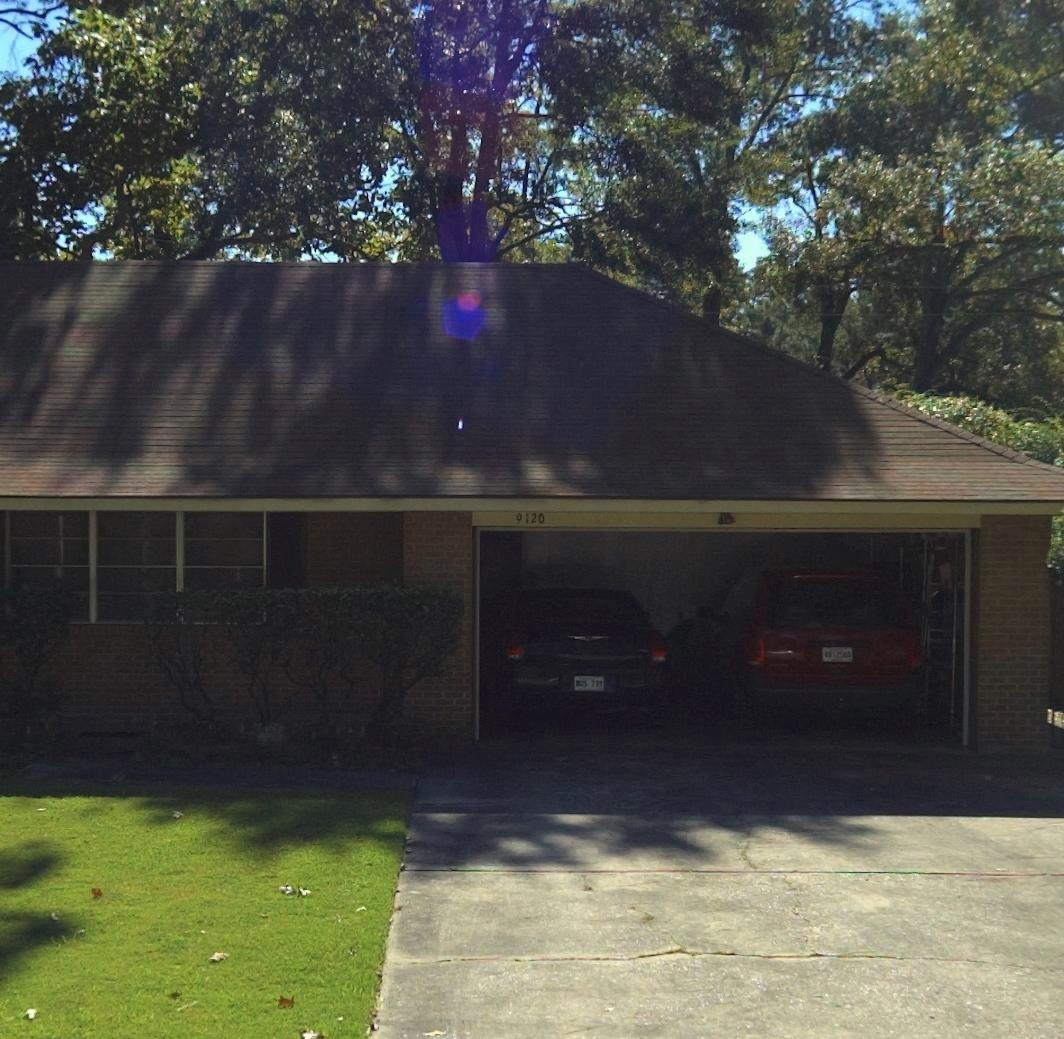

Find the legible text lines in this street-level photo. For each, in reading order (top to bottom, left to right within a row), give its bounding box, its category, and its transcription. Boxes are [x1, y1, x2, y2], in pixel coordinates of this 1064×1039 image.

[514, 511, 547, 526] StreetNumber: 9120